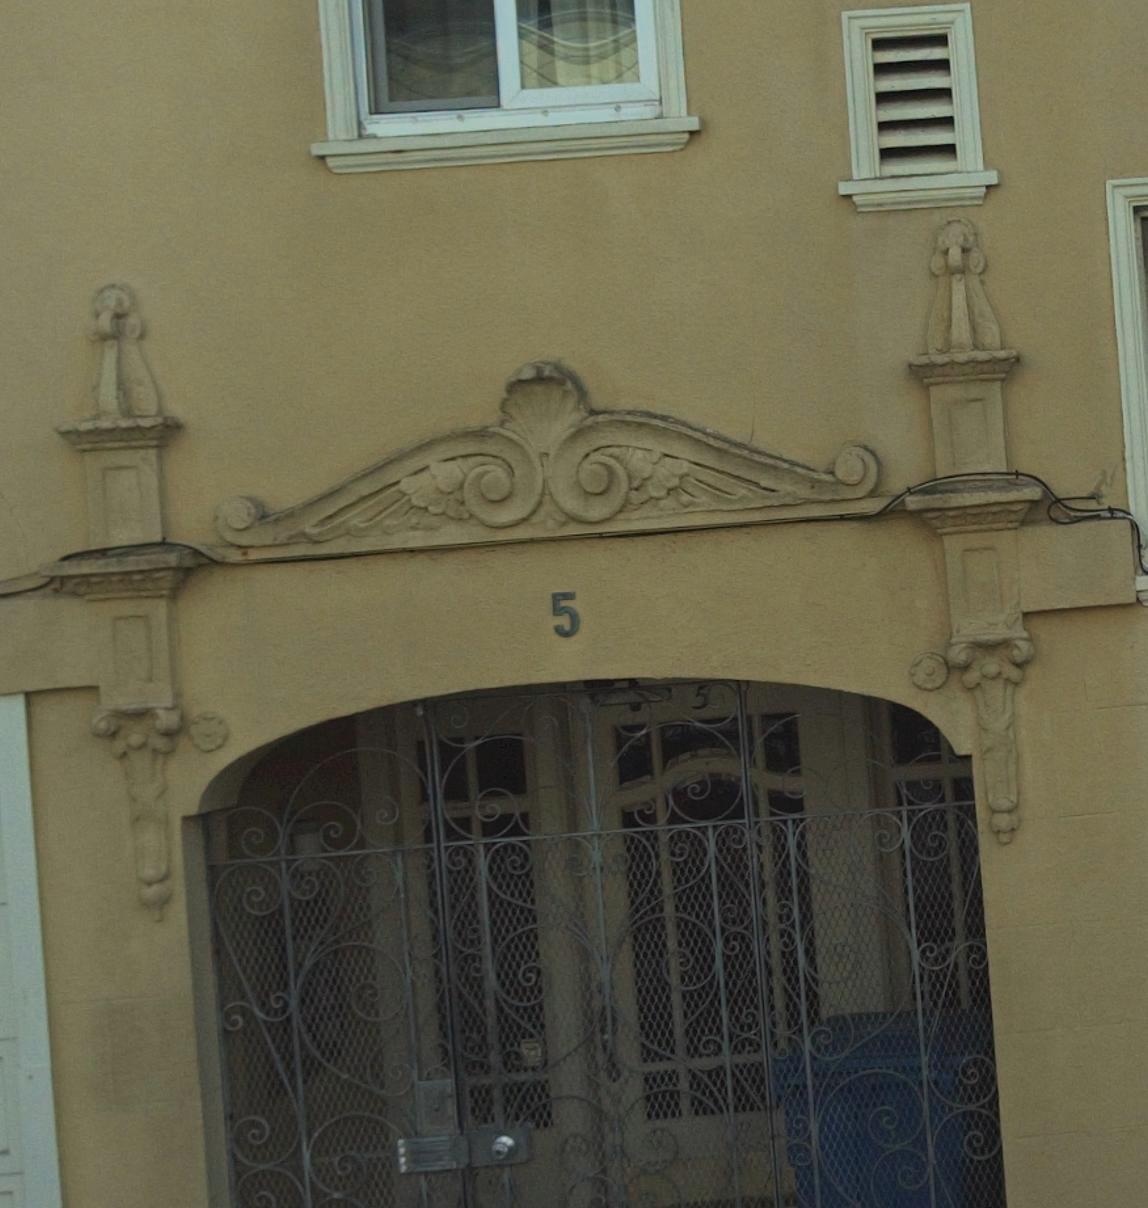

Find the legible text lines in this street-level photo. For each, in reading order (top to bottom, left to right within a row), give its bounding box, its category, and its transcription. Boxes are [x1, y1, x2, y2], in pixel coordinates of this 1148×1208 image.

[549, 589, 583, 640] StreetNumber: 5